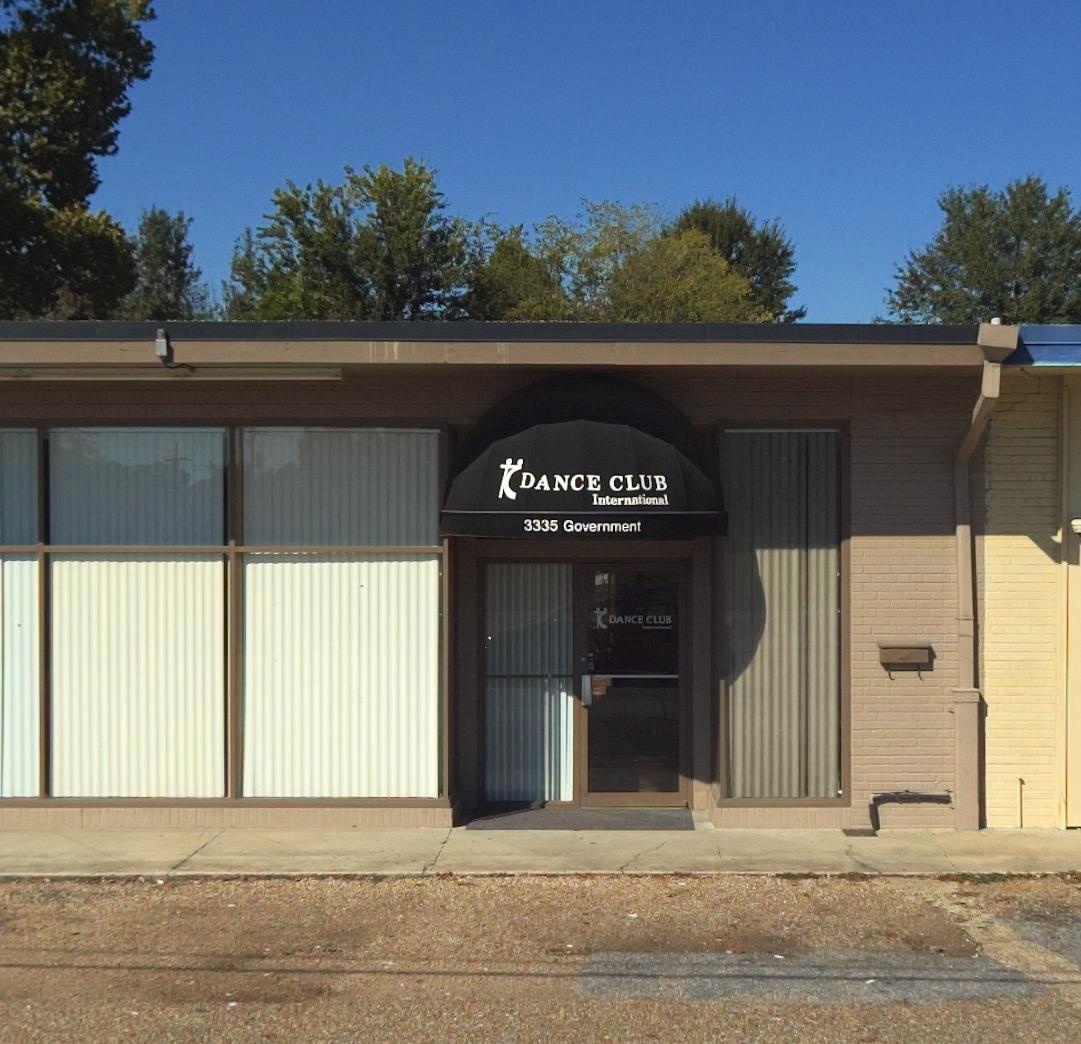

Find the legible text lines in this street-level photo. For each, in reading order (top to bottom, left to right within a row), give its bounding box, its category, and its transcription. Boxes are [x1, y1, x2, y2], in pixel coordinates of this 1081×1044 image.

[515, 468, 671, 494] BusinessName: DANCE CLUB
[588, 490, 672, 508] BusinessName: International
[521, 516, 561, 534] StreetNumber: 3335
[561, 516, 644, 534] StreetName: Government
[607, 612, 674, 626] BusinessName: DANCE CLUB